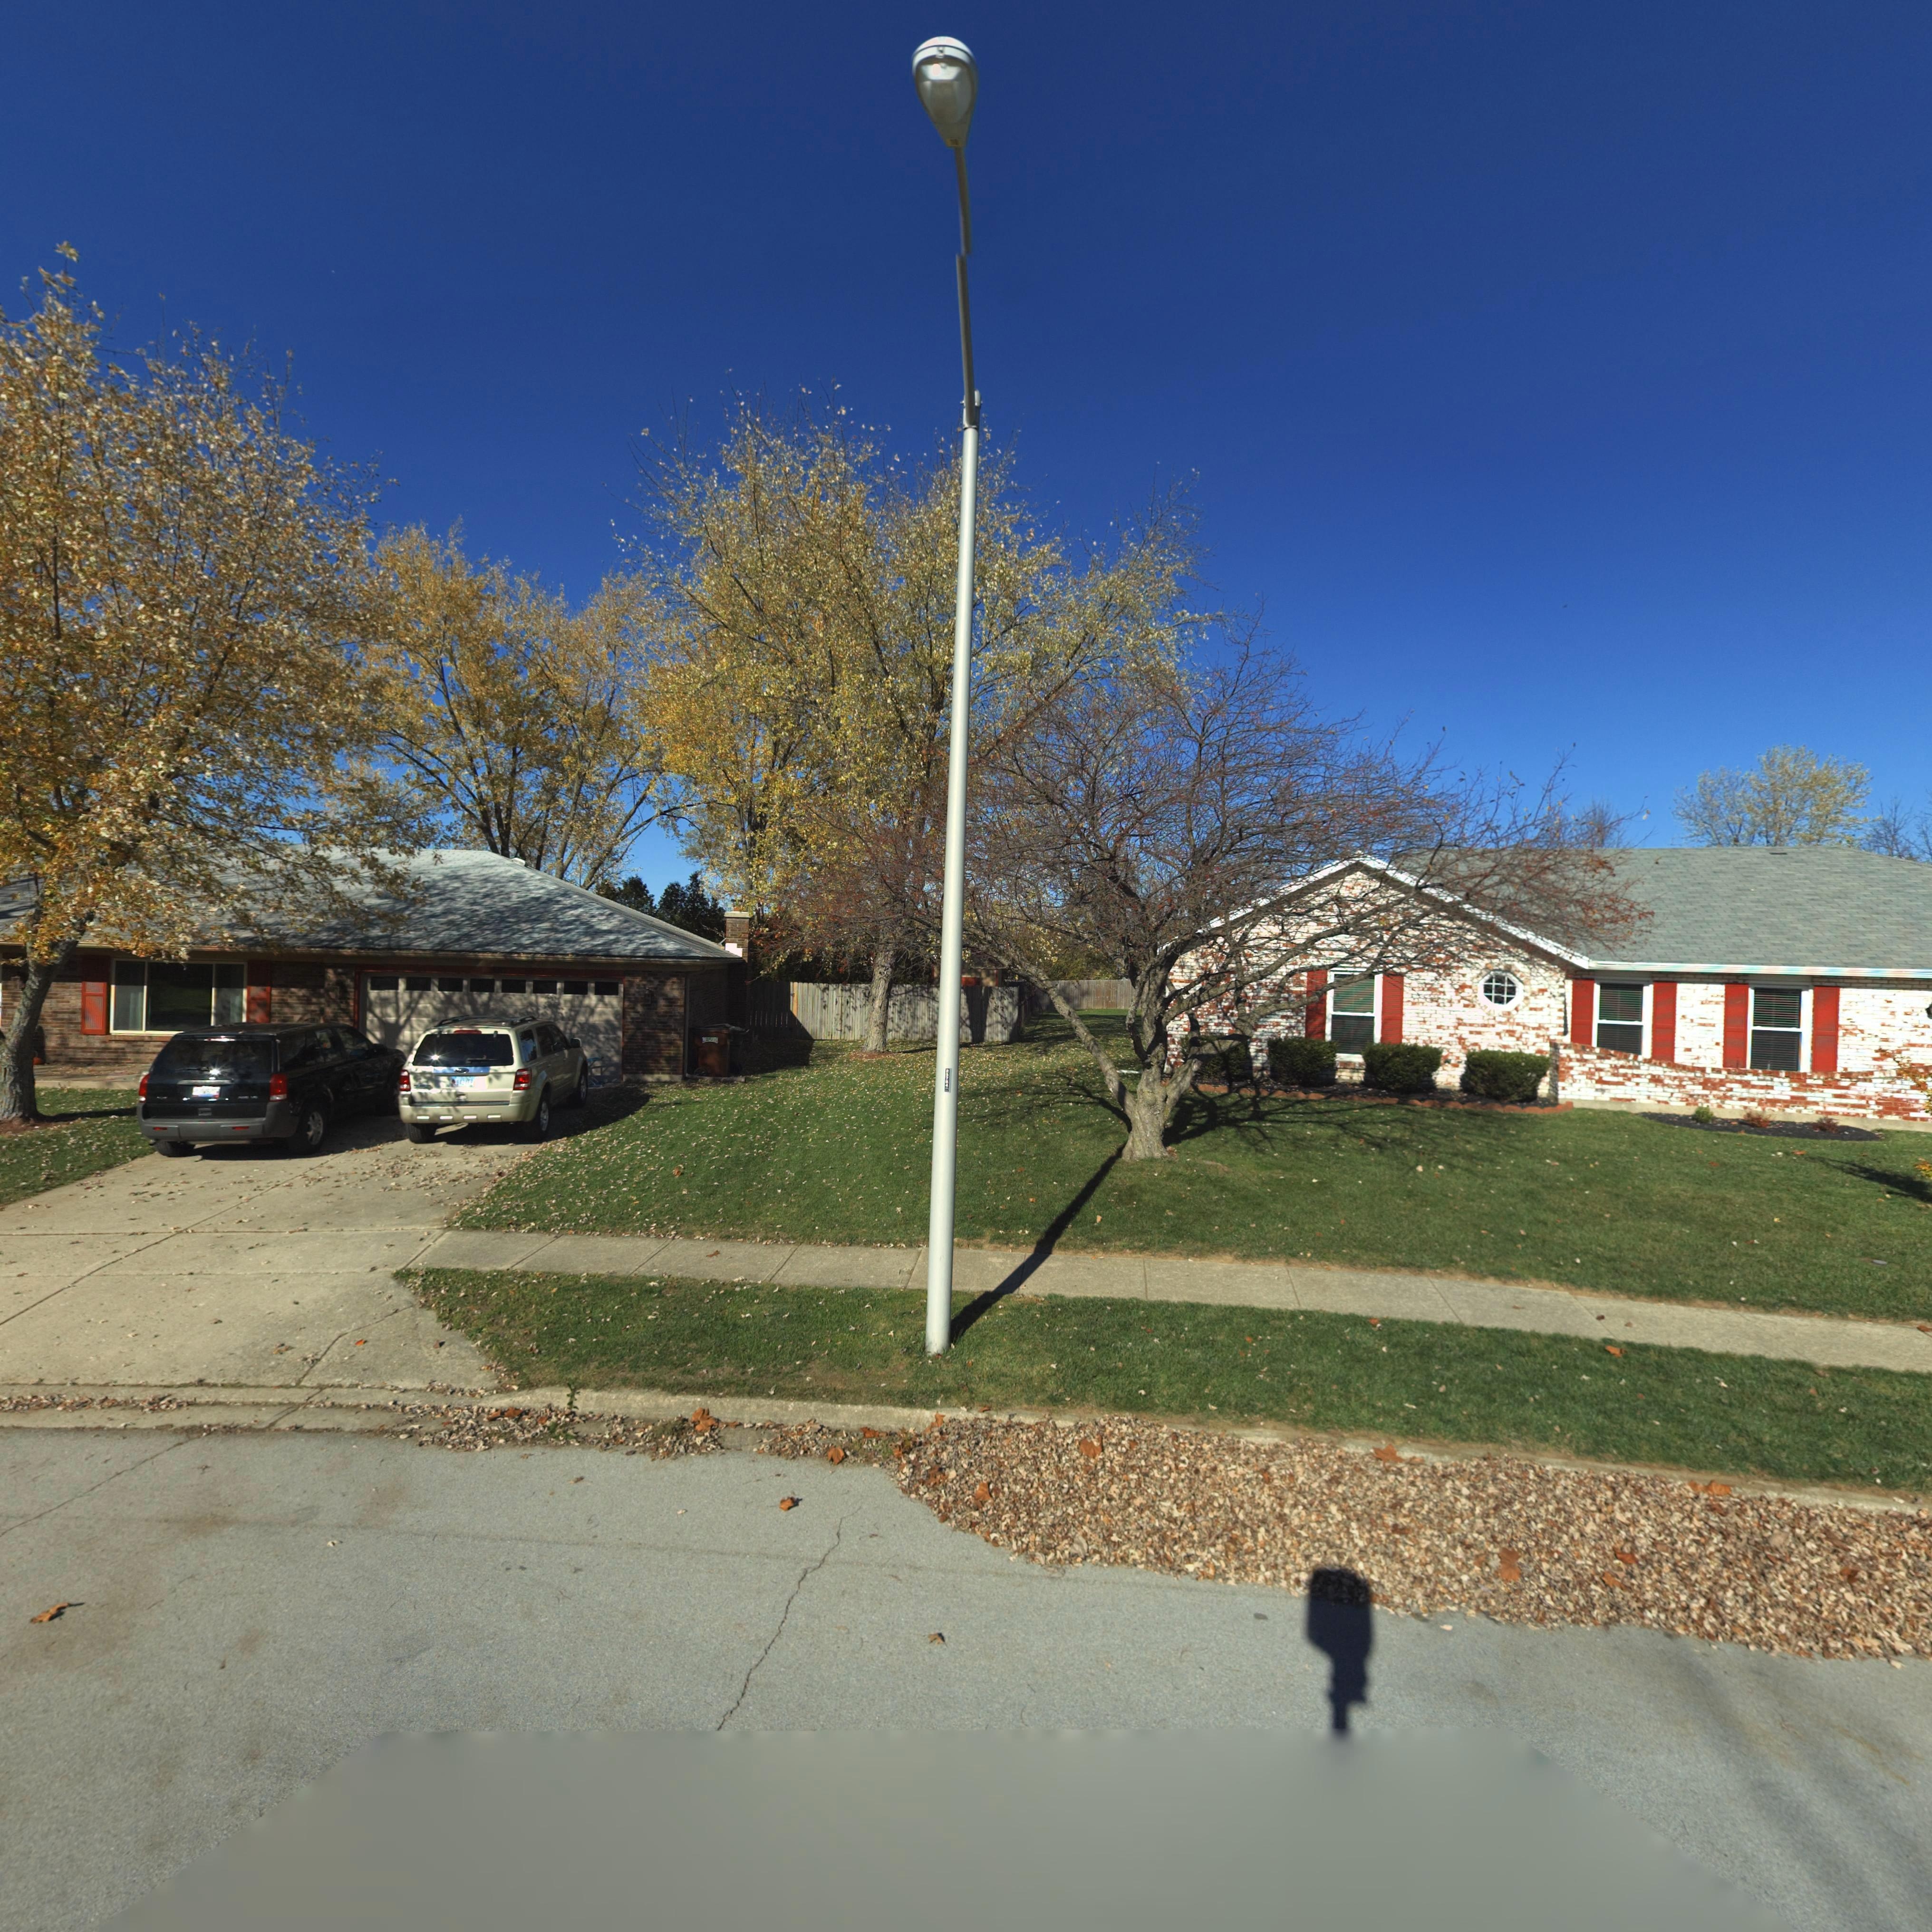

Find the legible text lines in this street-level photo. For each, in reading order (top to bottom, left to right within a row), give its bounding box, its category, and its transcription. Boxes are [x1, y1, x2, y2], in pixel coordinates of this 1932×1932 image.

[489, 967, 509, 974] StreetNumber: **0*